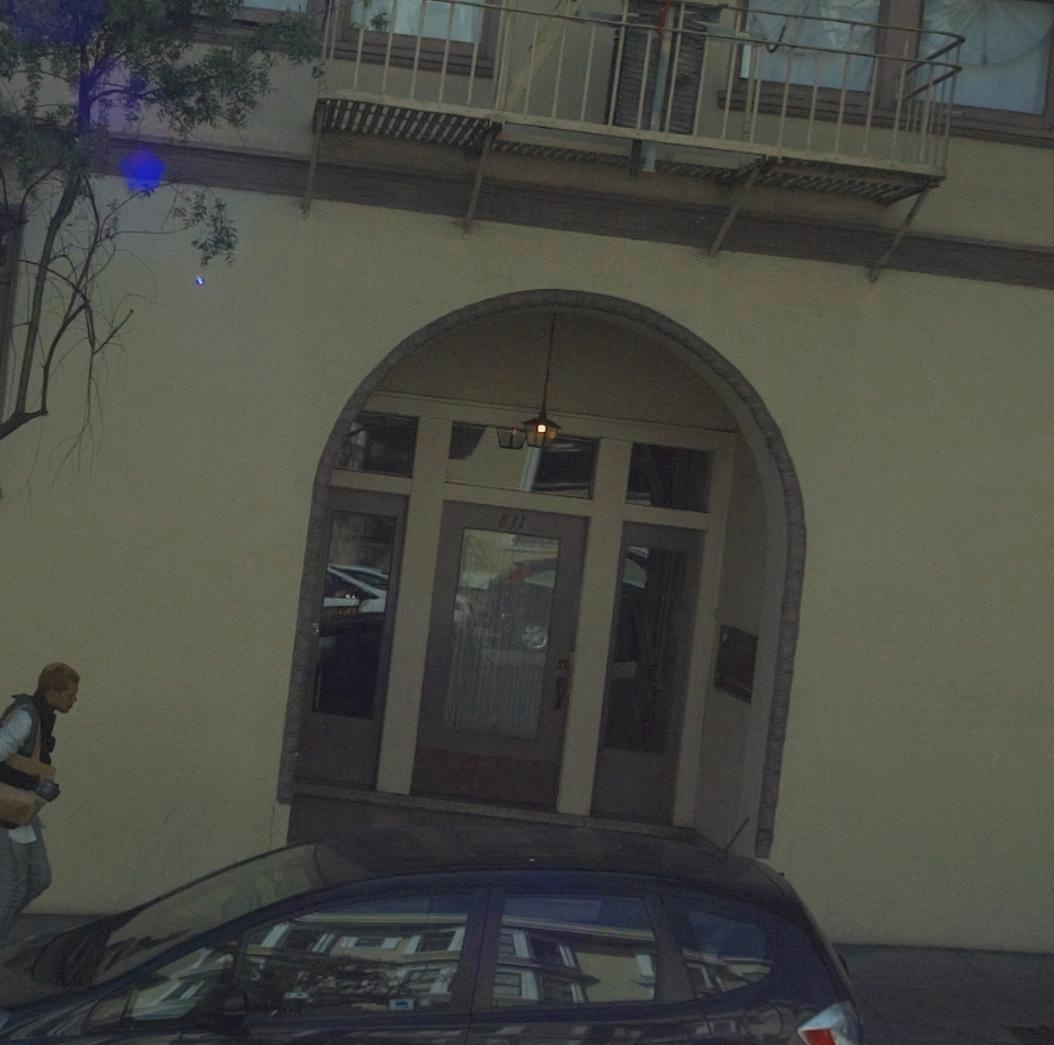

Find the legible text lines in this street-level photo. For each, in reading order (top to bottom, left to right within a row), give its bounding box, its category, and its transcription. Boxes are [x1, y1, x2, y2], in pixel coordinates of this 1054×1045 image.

[496, 512, 527, 529] StreetNumber: 811